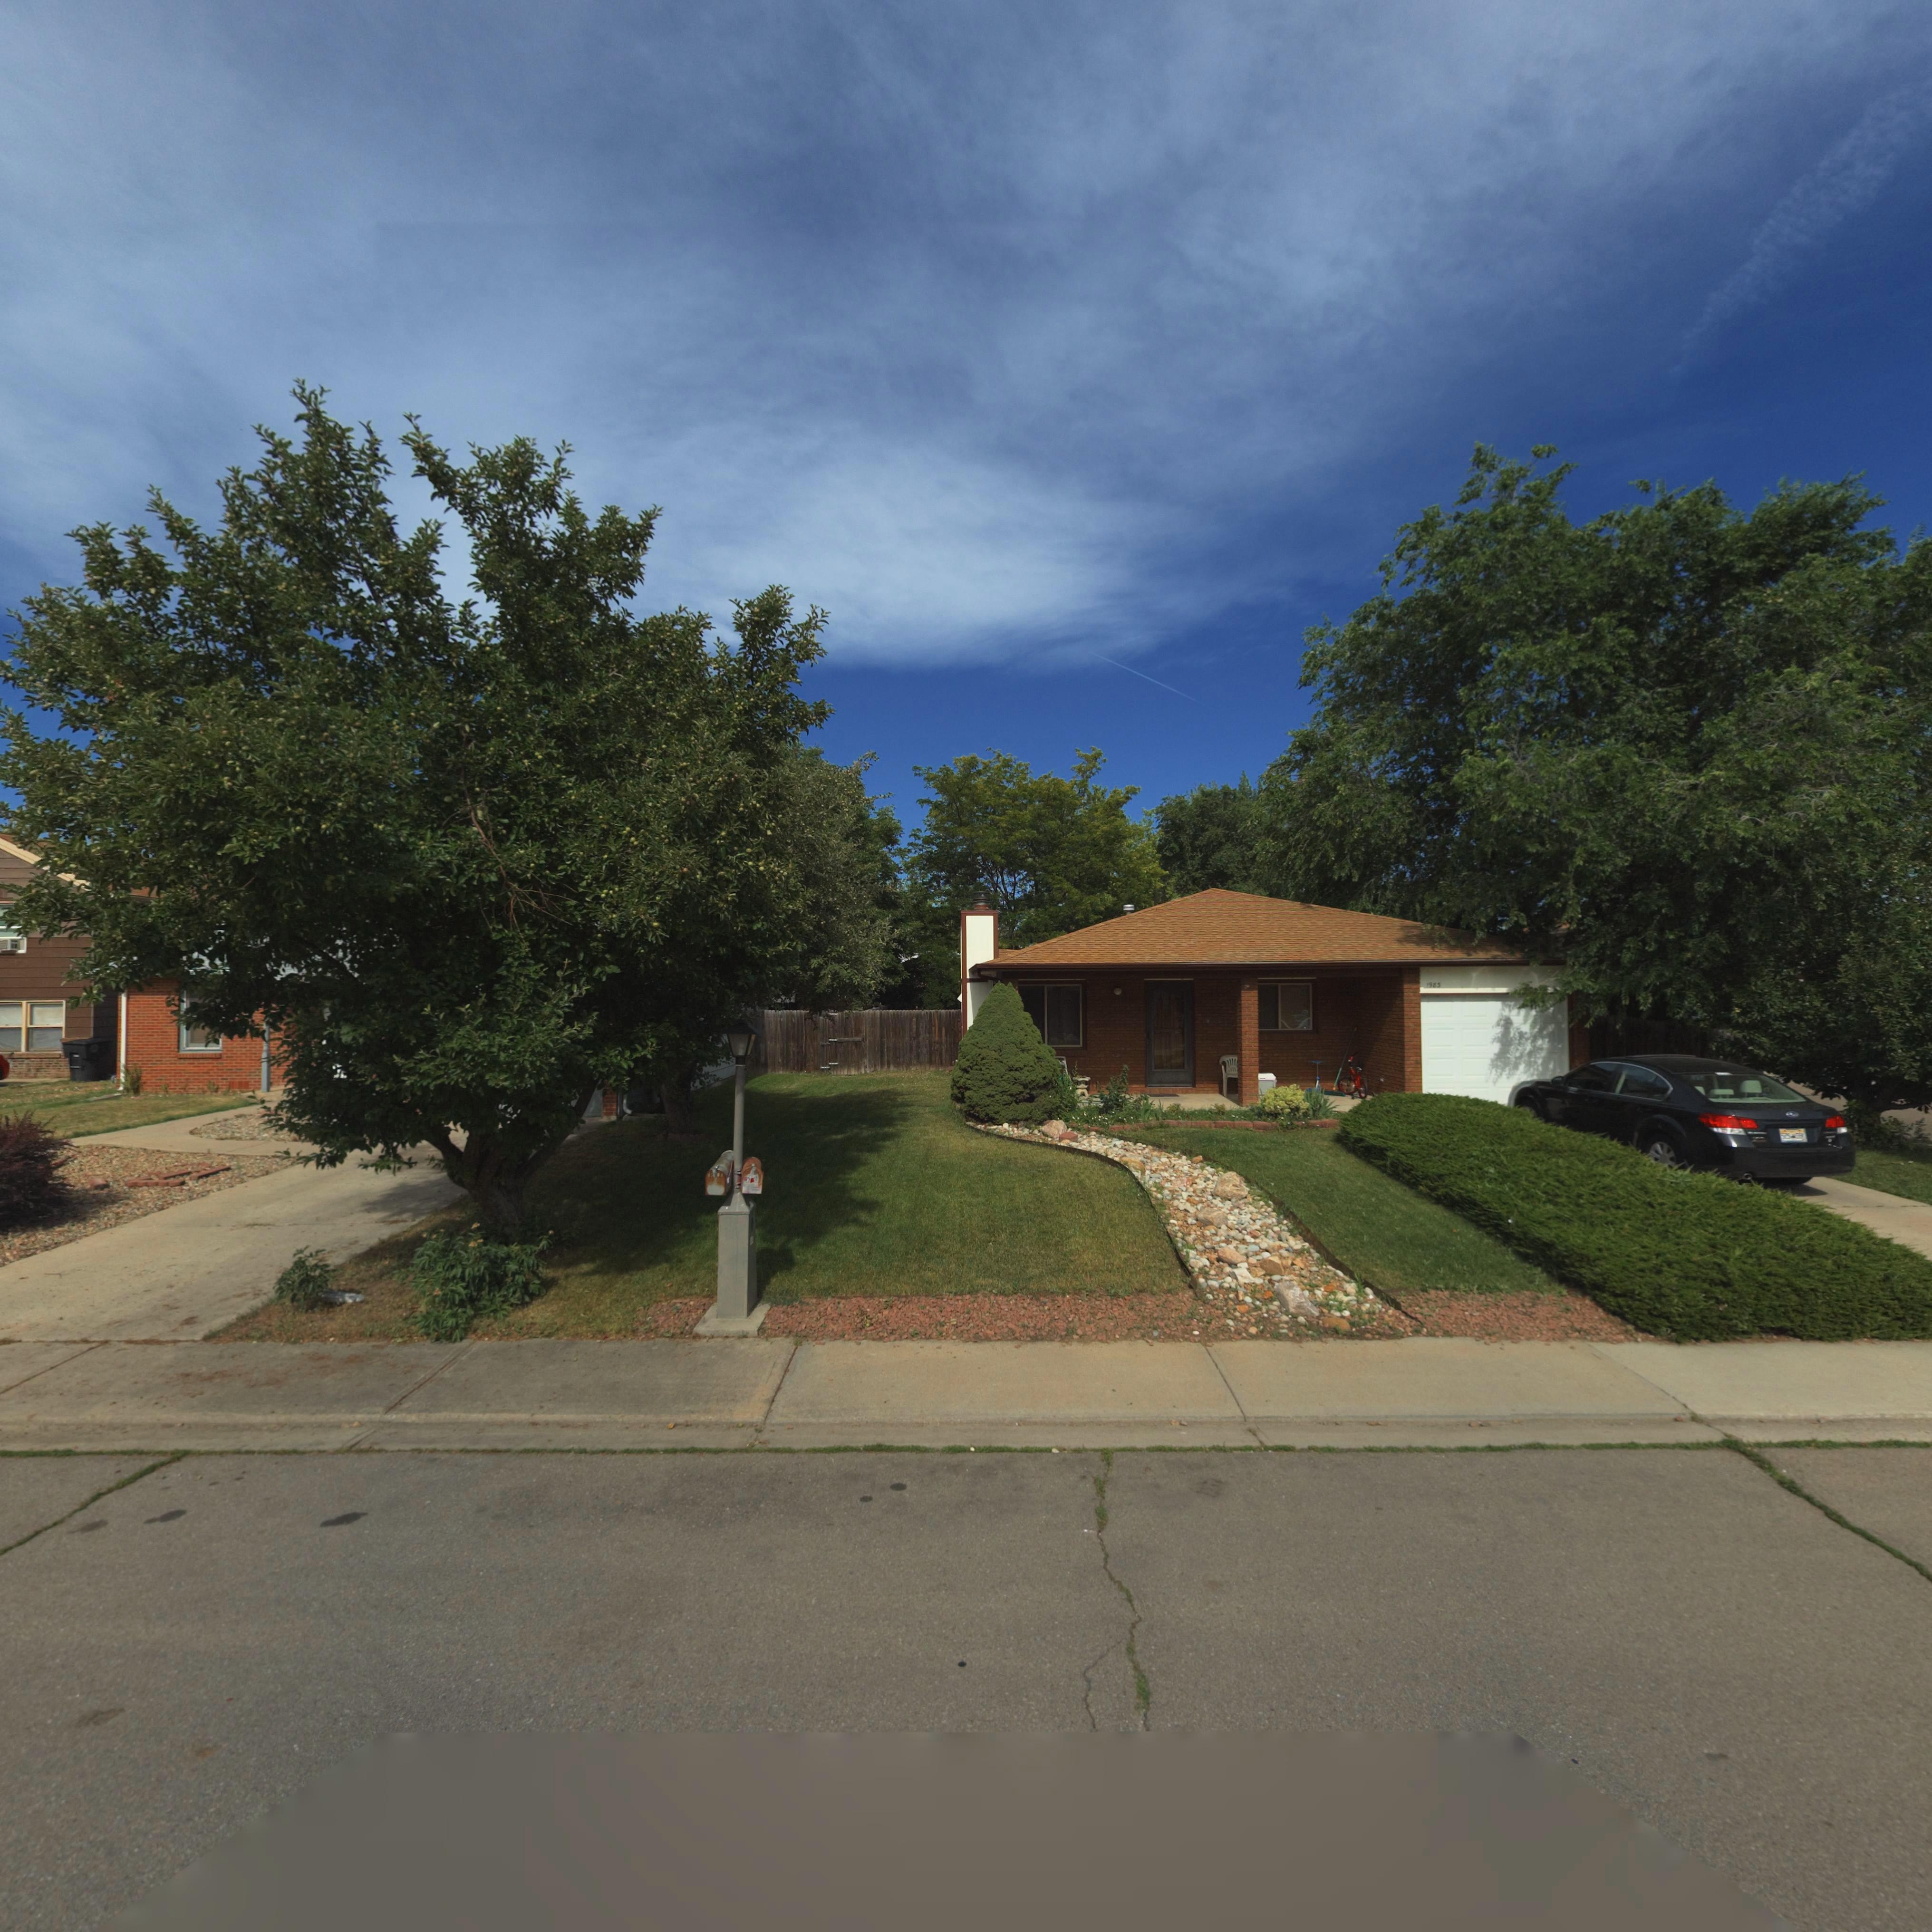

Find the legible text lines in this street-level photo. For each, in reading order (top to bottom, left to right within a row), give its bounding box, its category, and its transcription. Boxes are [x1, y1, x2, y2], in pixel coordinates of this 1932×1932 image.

[1426, 982, 1441, 988] StreetNumber: 1983